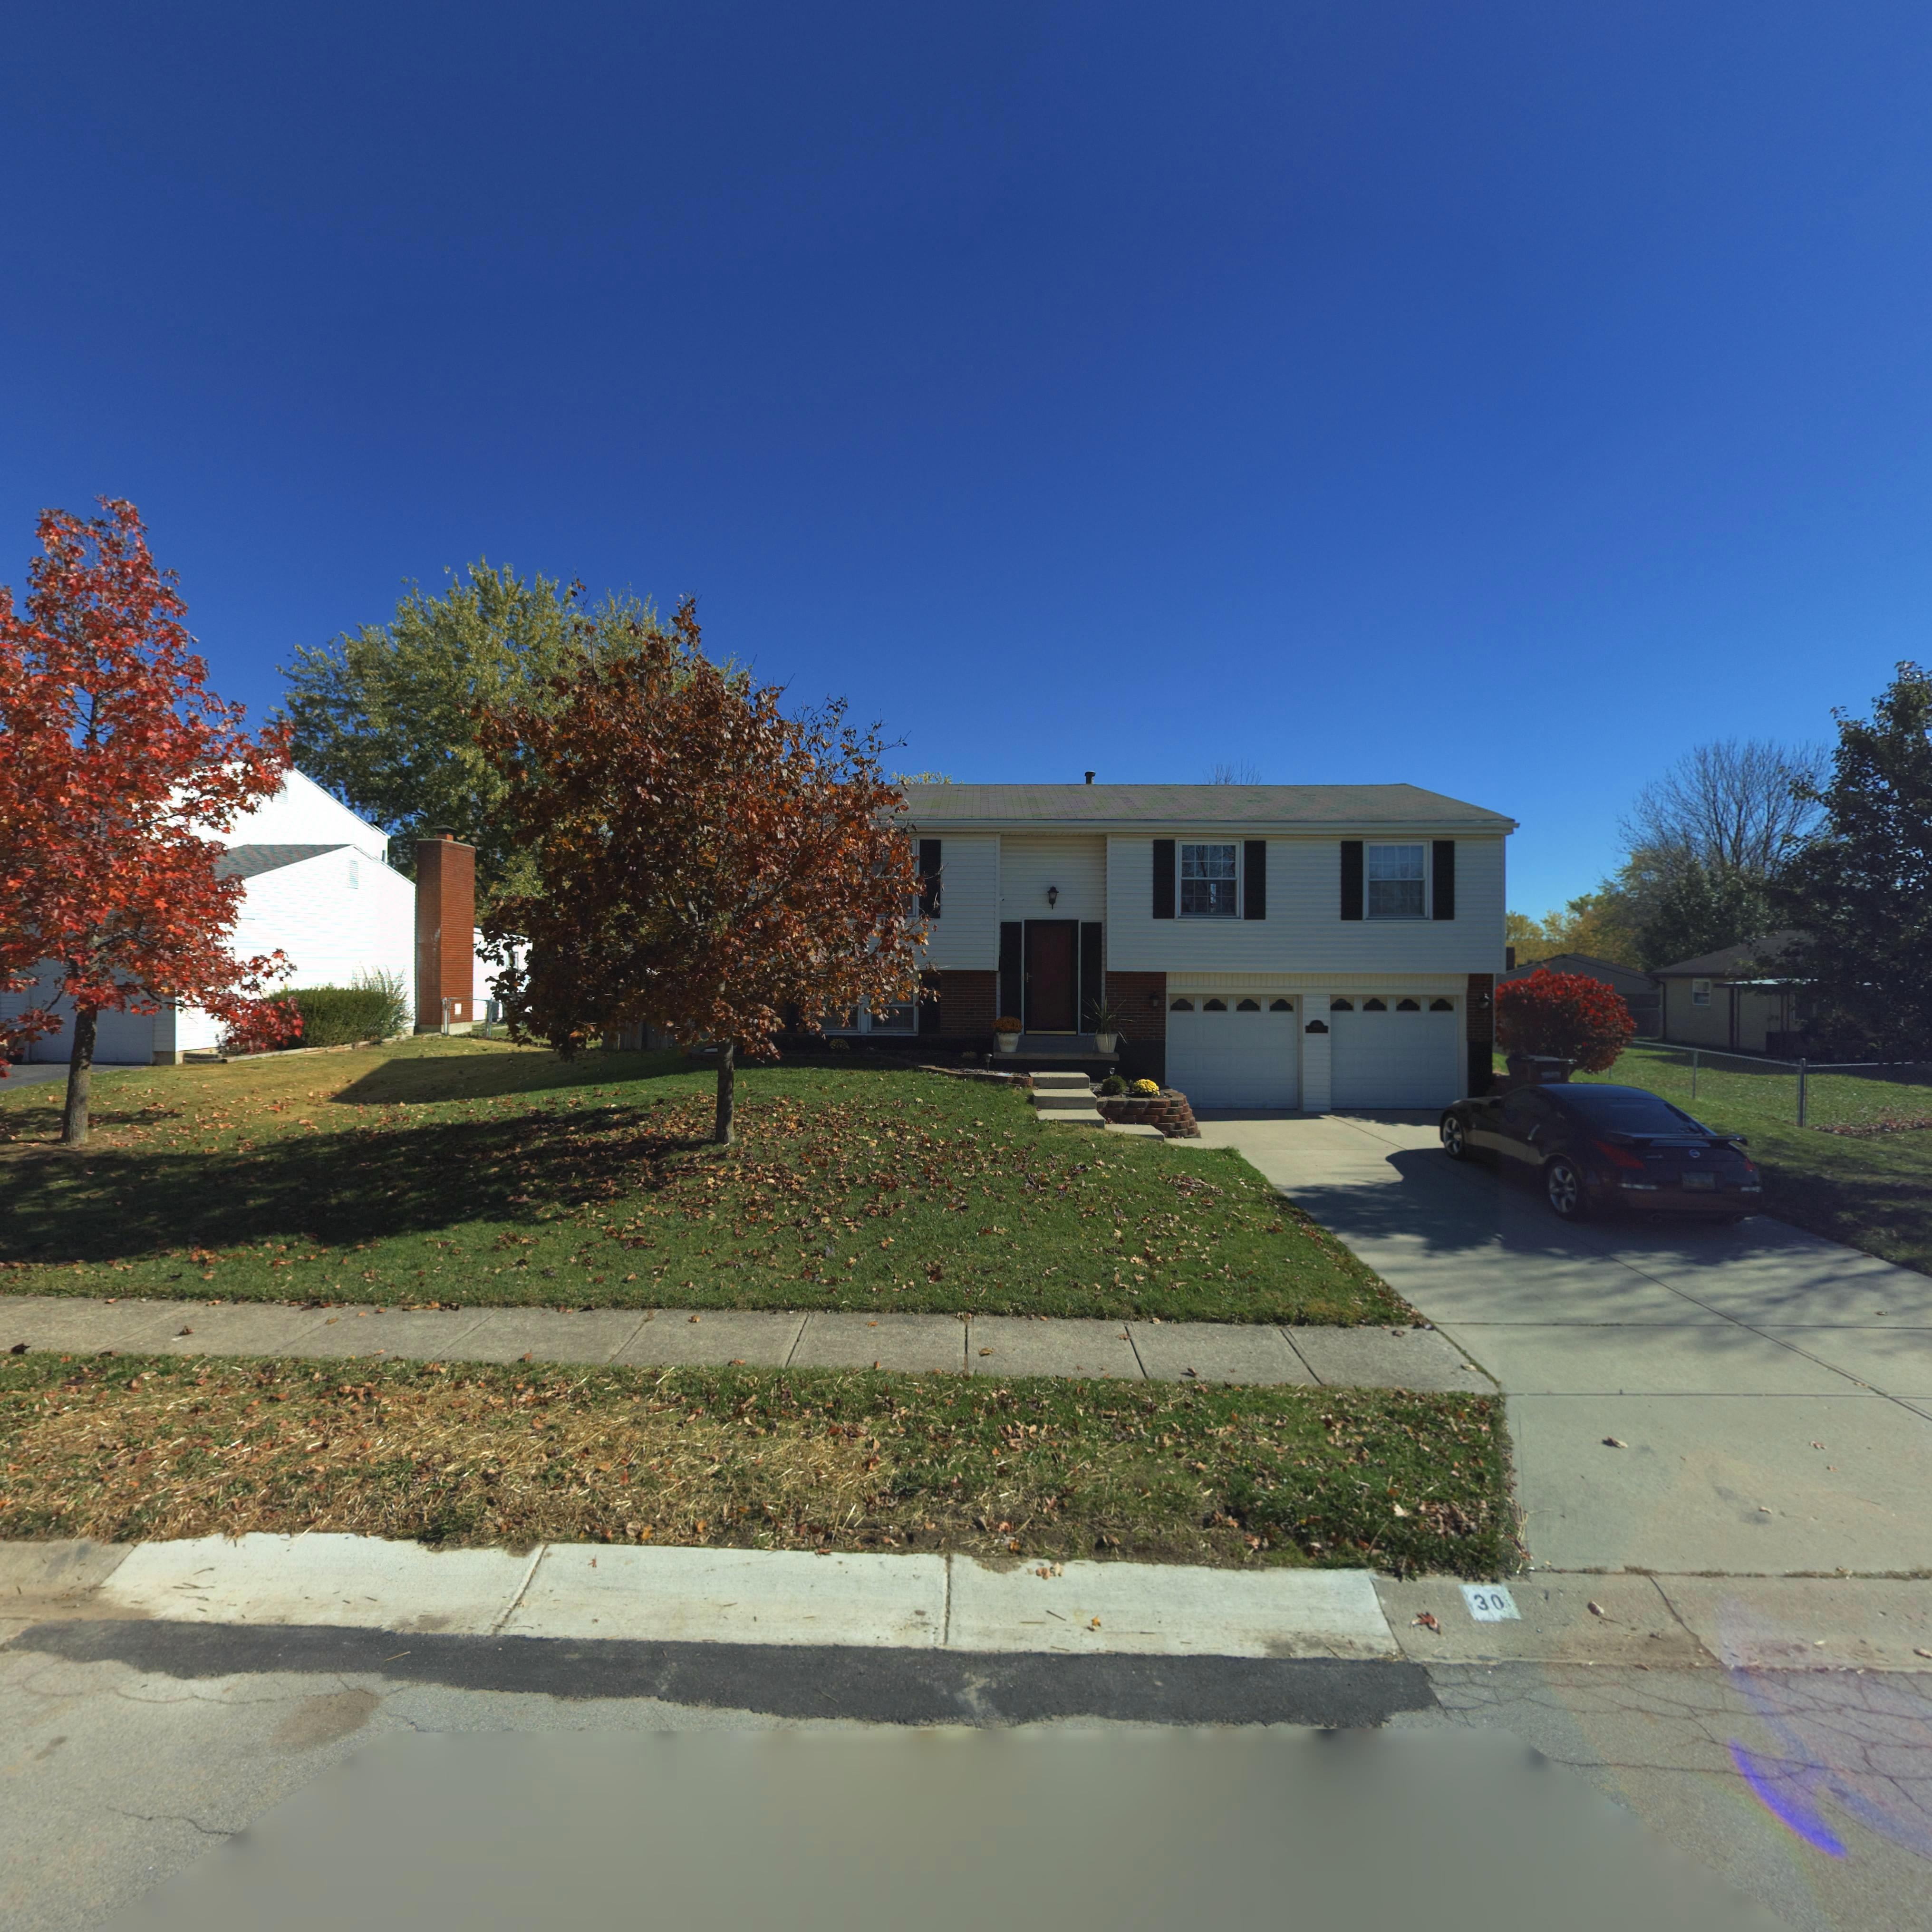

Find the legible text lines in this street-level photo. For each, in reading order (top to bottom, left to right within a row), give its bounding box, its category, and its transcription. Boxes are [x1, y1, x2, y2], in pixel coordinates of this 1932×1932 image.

[1470, 1591, 1507, 1613] StreetNumber: 30